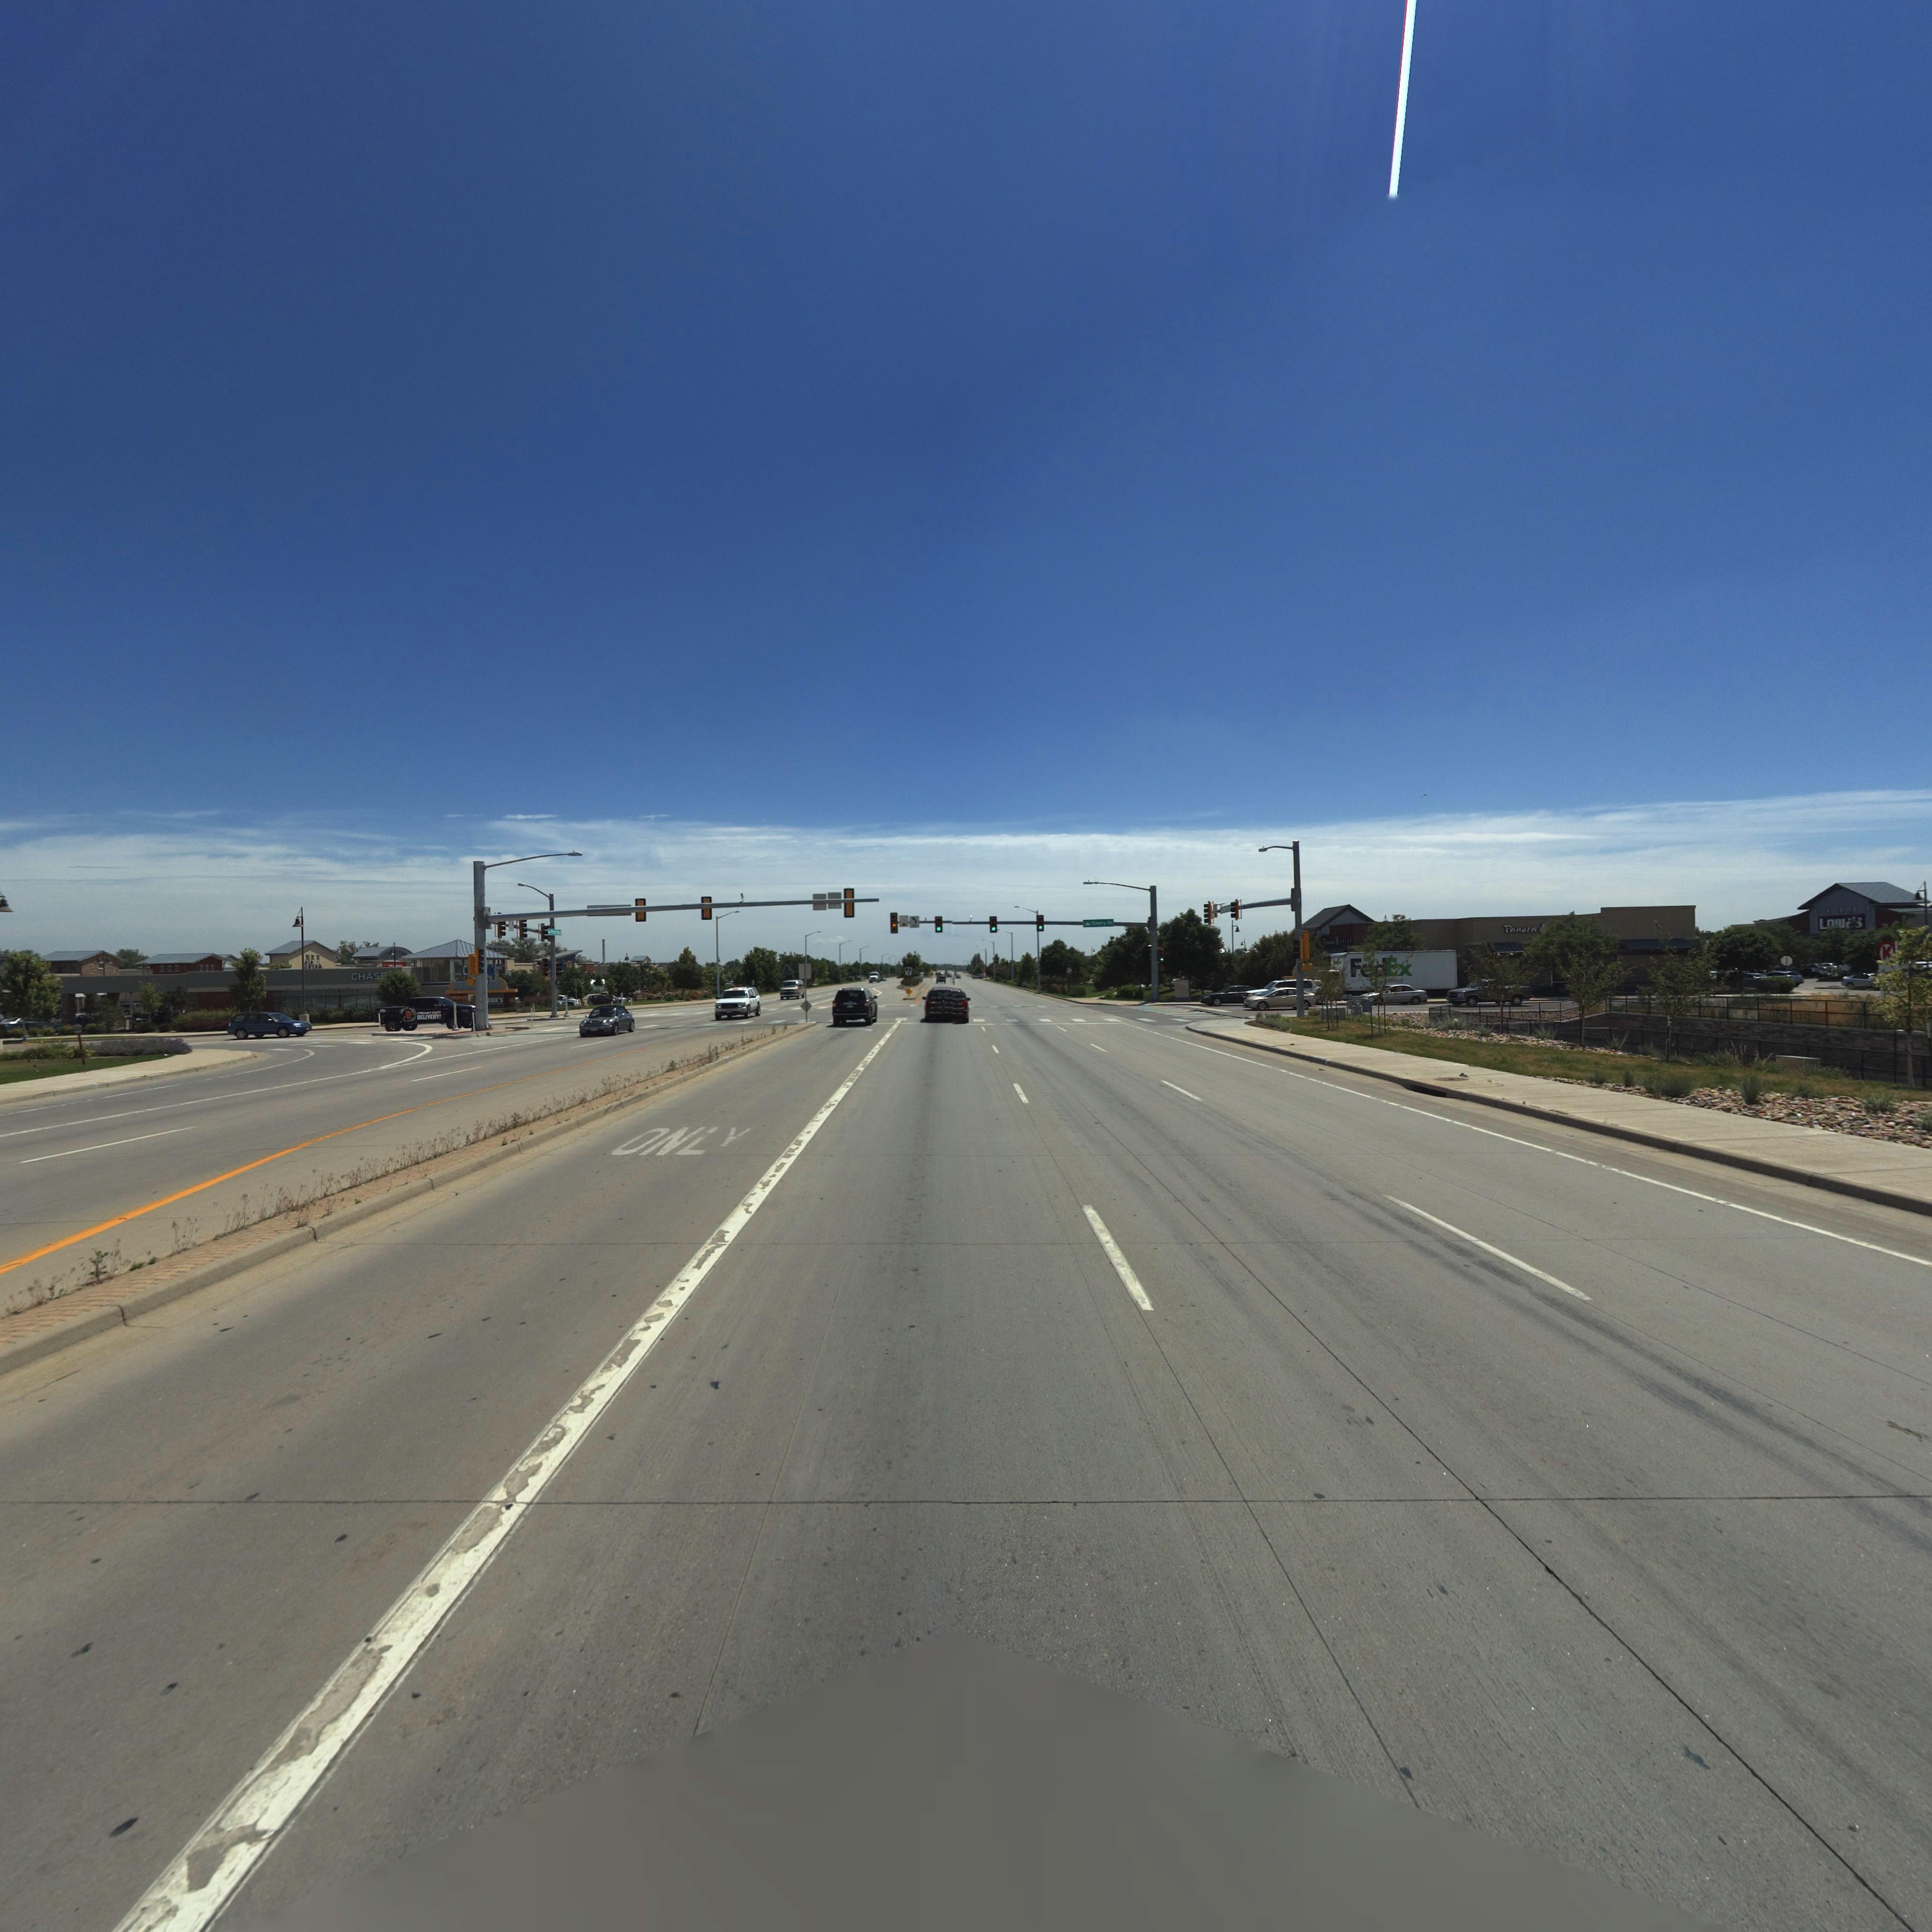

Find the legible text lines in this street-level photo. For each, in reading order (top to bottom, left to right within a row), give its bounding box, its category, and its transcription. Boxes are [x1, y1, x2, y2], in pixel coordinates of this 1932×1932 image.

[1092, 920, 1112, 926] StreetName: Emery St
[1502, 924, 1537, 933] BusinessName: Panera
[1340, 938, 1352, 944] BusinessName: BREAD
[351, 972, 380, 980] BusinessName: CHAS
[489, 997, 503, 1003] BusinessName: ICK'S